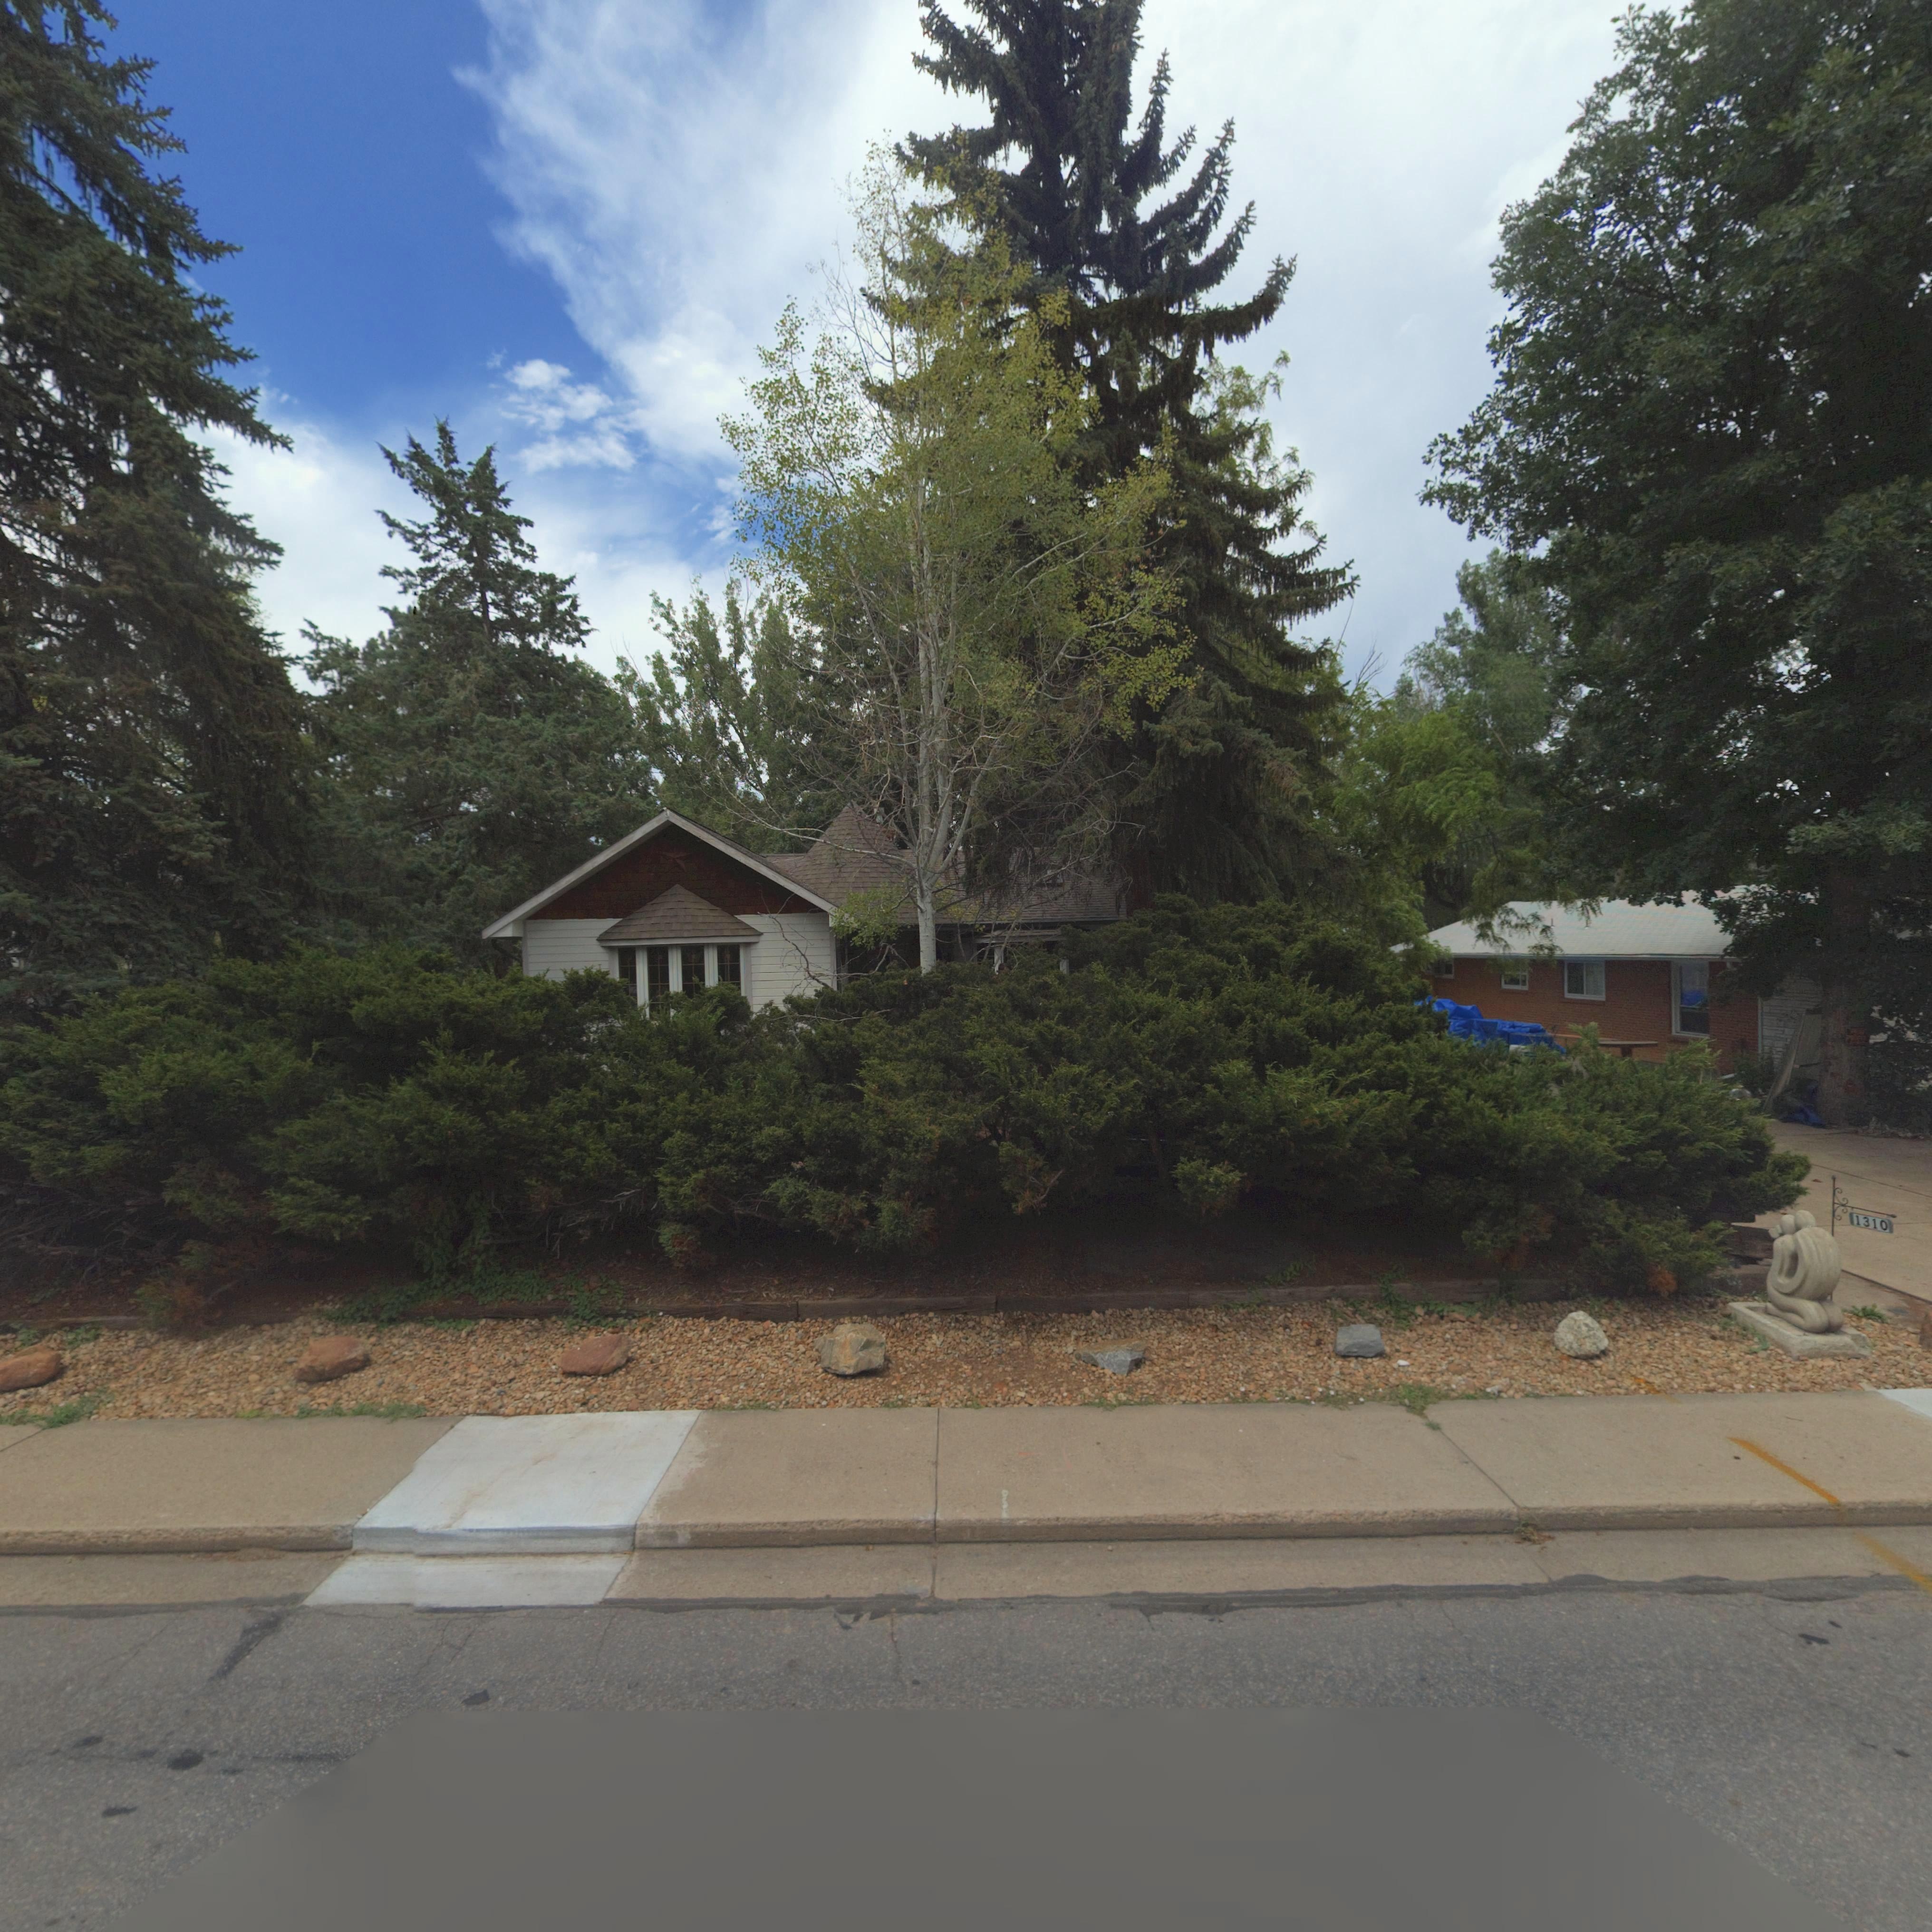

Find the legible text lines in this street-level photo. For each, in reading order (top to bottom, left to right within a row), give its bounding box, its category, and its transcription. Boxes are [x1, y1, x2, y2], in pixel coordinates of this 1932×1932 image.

[1855, 1214, 1888, 1232] StreetNumber: 1310